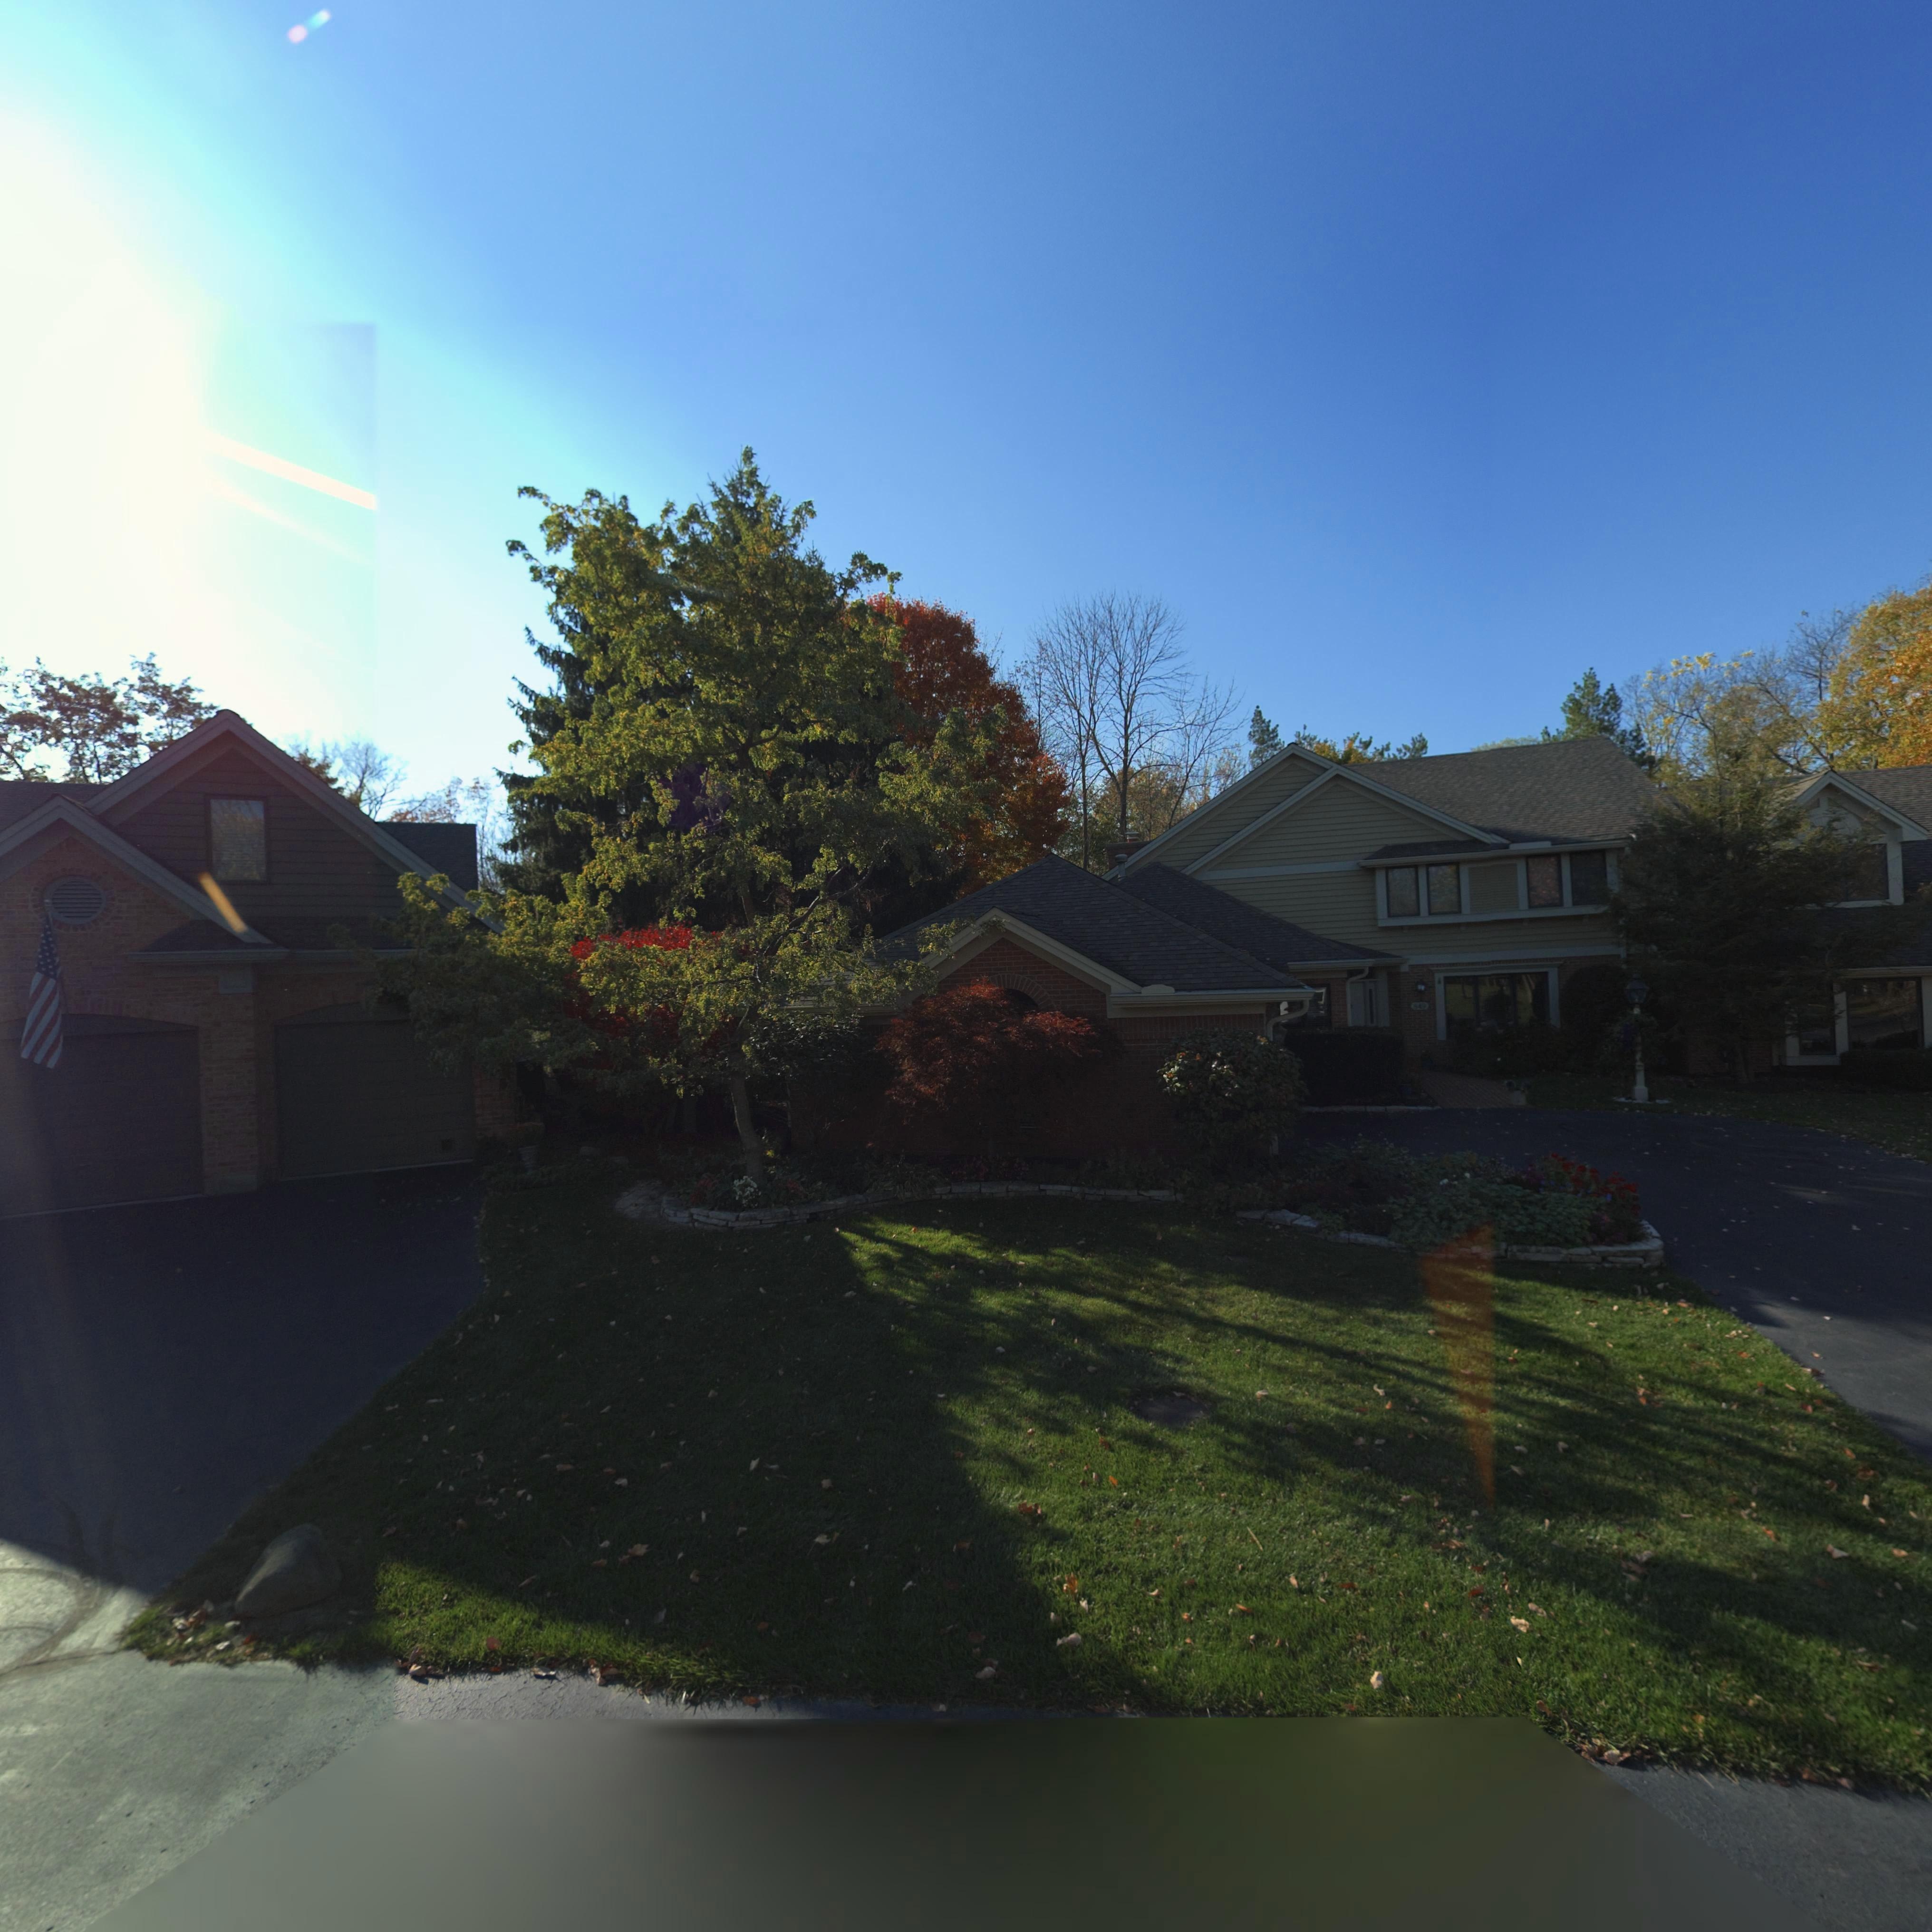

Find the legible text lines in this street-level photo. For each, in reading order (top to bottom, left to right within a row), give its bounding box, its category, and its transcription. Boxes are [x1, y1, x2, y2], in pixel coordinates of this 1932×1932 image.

[1412, 1003, 1426, 1010] StreetNumber: 849